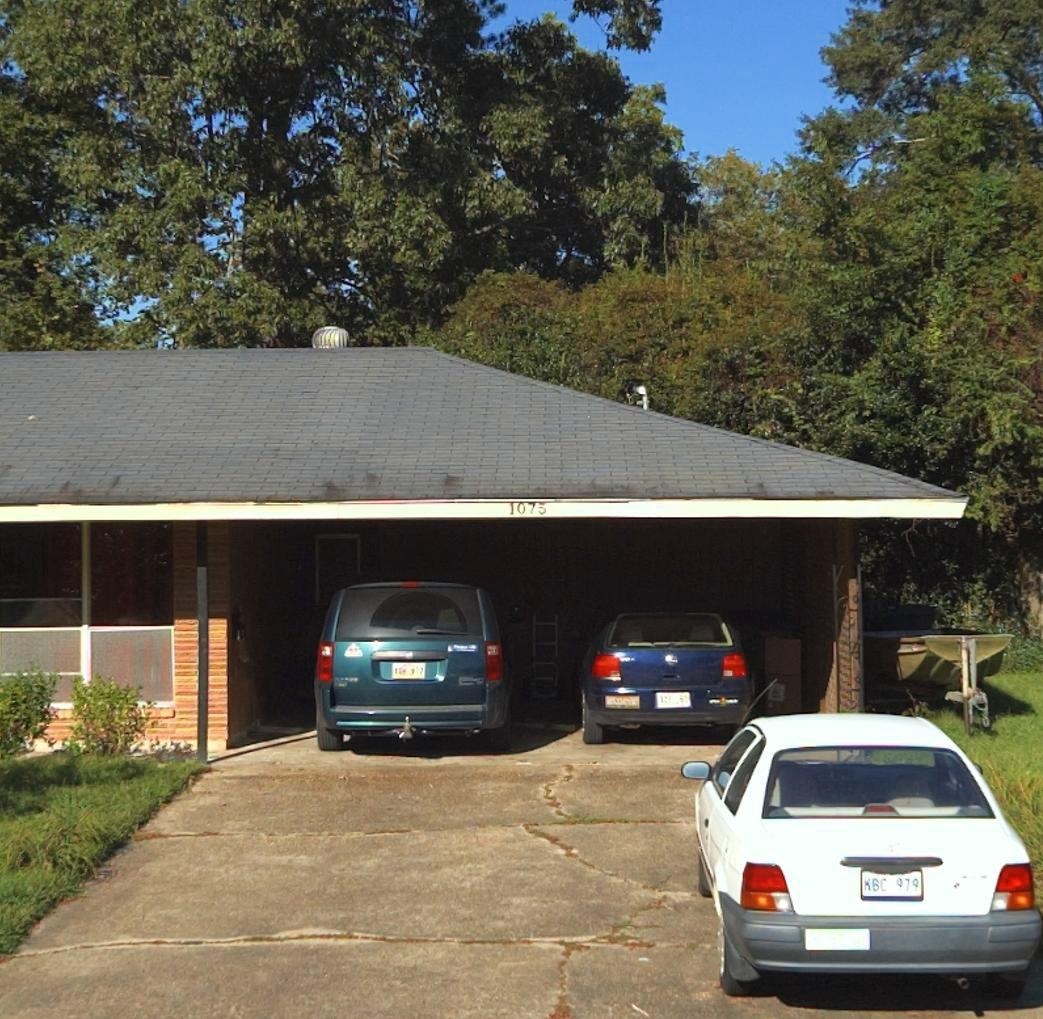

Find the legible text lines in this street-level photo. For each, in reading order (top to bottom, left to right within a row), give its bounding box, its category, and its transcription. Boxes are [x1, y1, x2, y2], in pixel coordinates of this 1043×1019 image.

[508, 502, 548, 516] StreetNumber: 1075
[862, 877, 919, 893] None: KBC*979